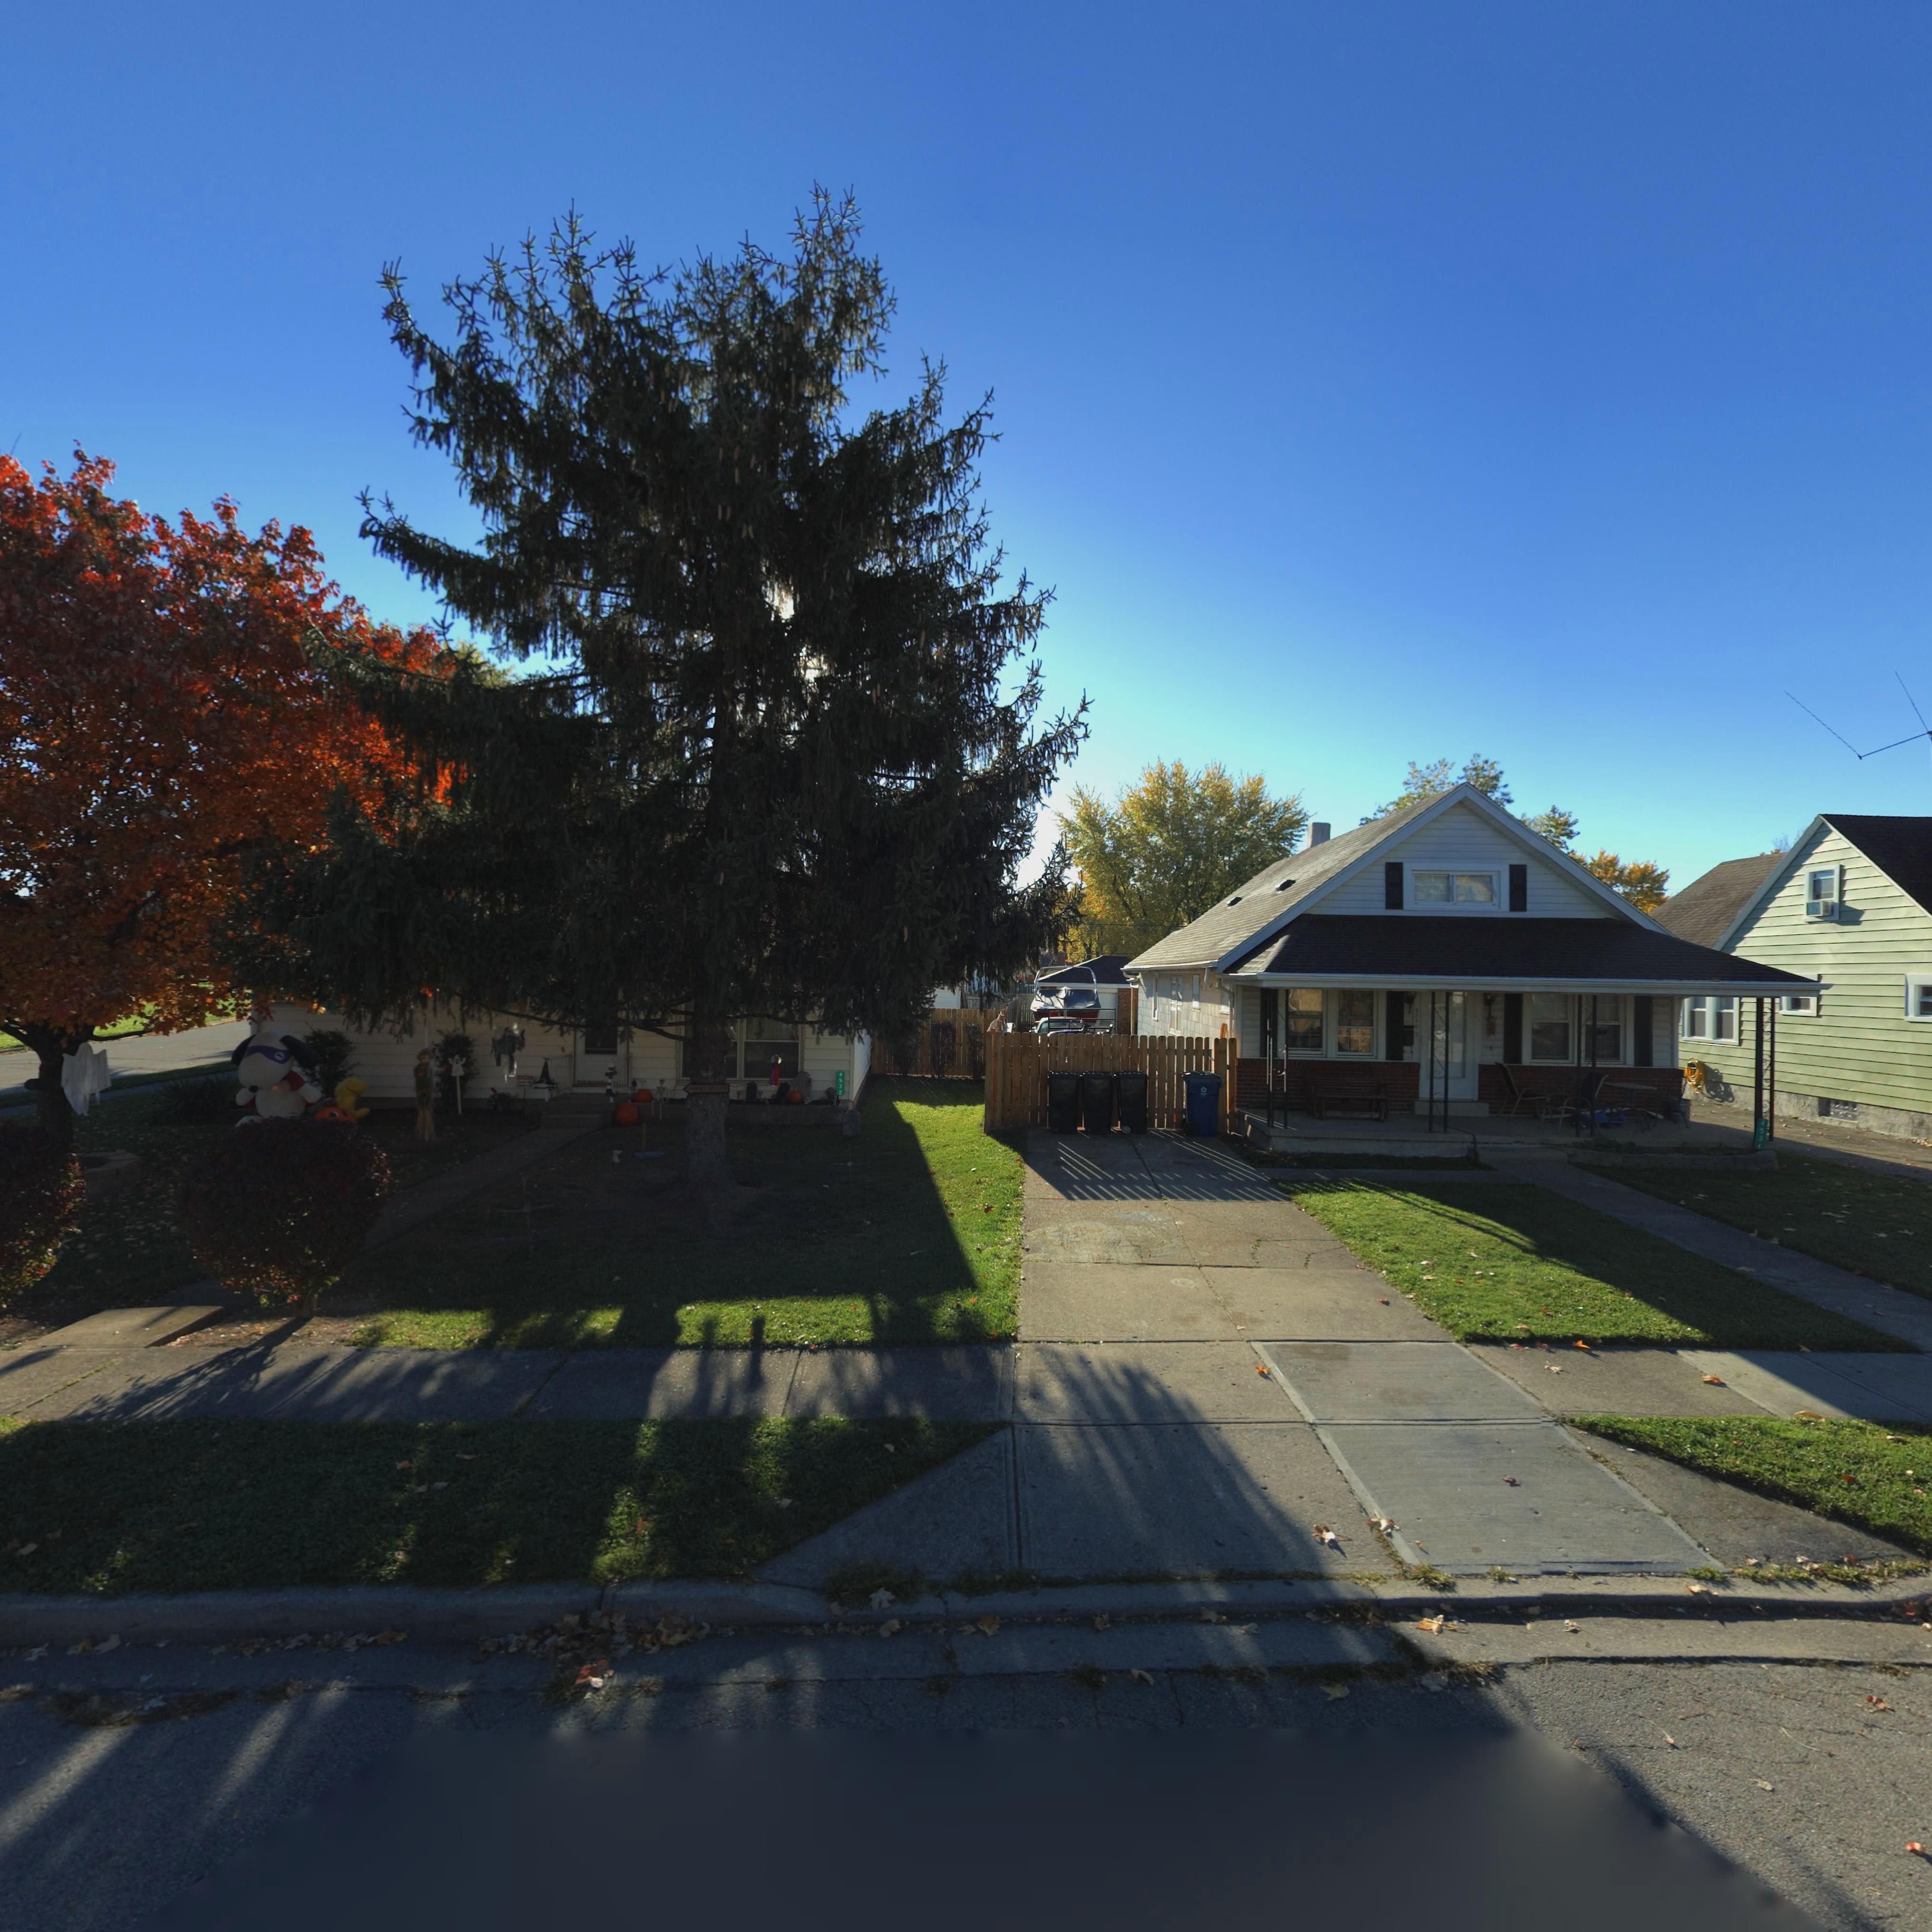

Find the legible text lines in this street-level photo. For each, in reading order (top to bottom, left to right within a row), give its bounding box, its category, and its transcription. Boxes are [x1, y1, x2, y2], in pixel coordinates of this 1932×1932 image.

[1413, 1006, 1420, 1031] StreetNumber: *0*6
[838, 1072, 843, 1095] StreetNumber: 4532